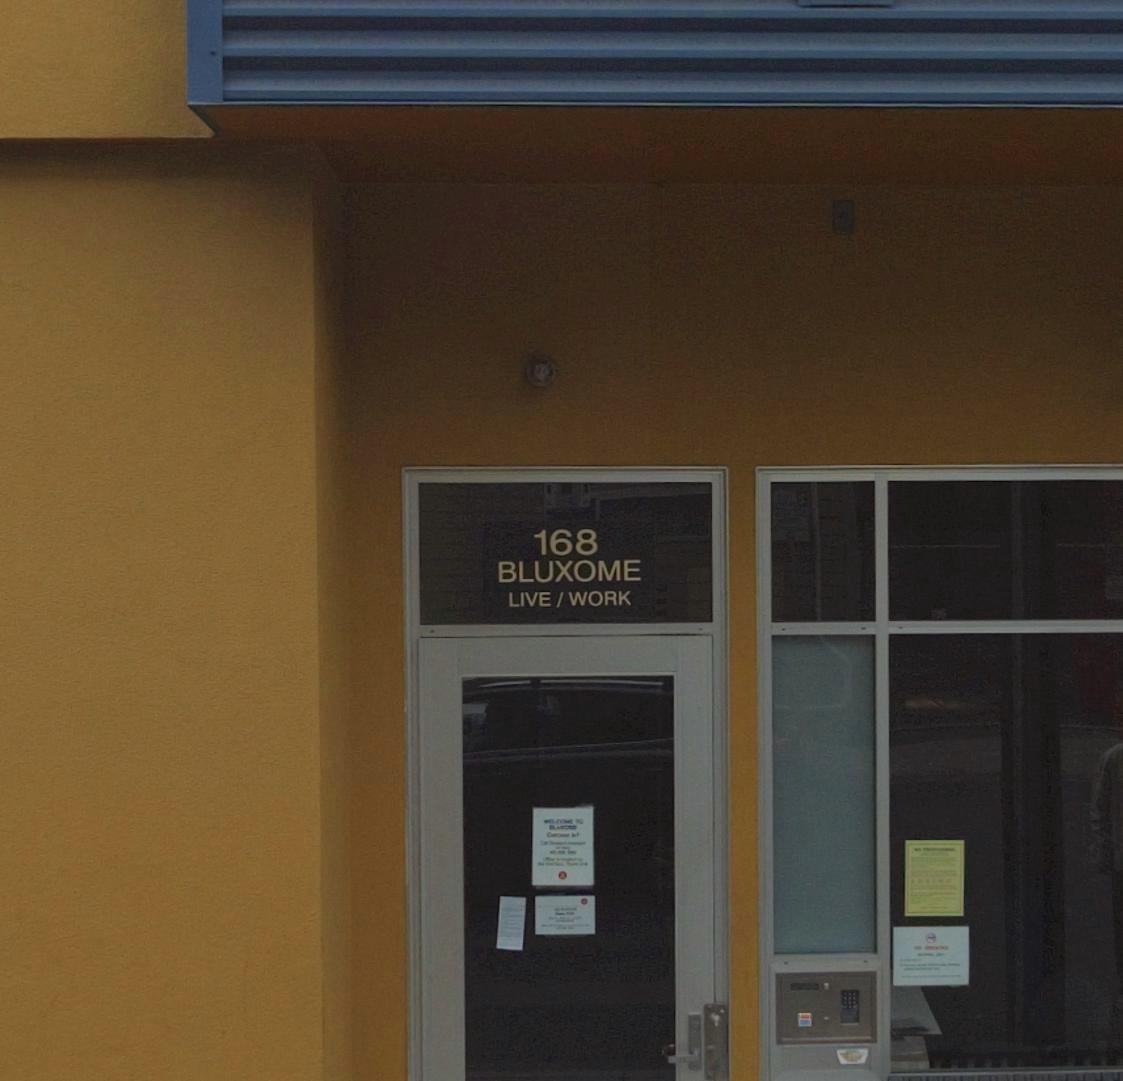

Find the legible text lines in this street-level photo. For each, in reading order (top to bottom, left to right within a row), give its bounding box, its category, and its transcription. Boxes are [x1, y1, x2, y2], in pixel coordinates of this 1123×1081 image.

[531, 526, 600, 558] StreetNumber: 168
[495, 556, 644, 586] StreetName: BLUXOME
[506, 587, 634, 610] None: LIVE/WORK